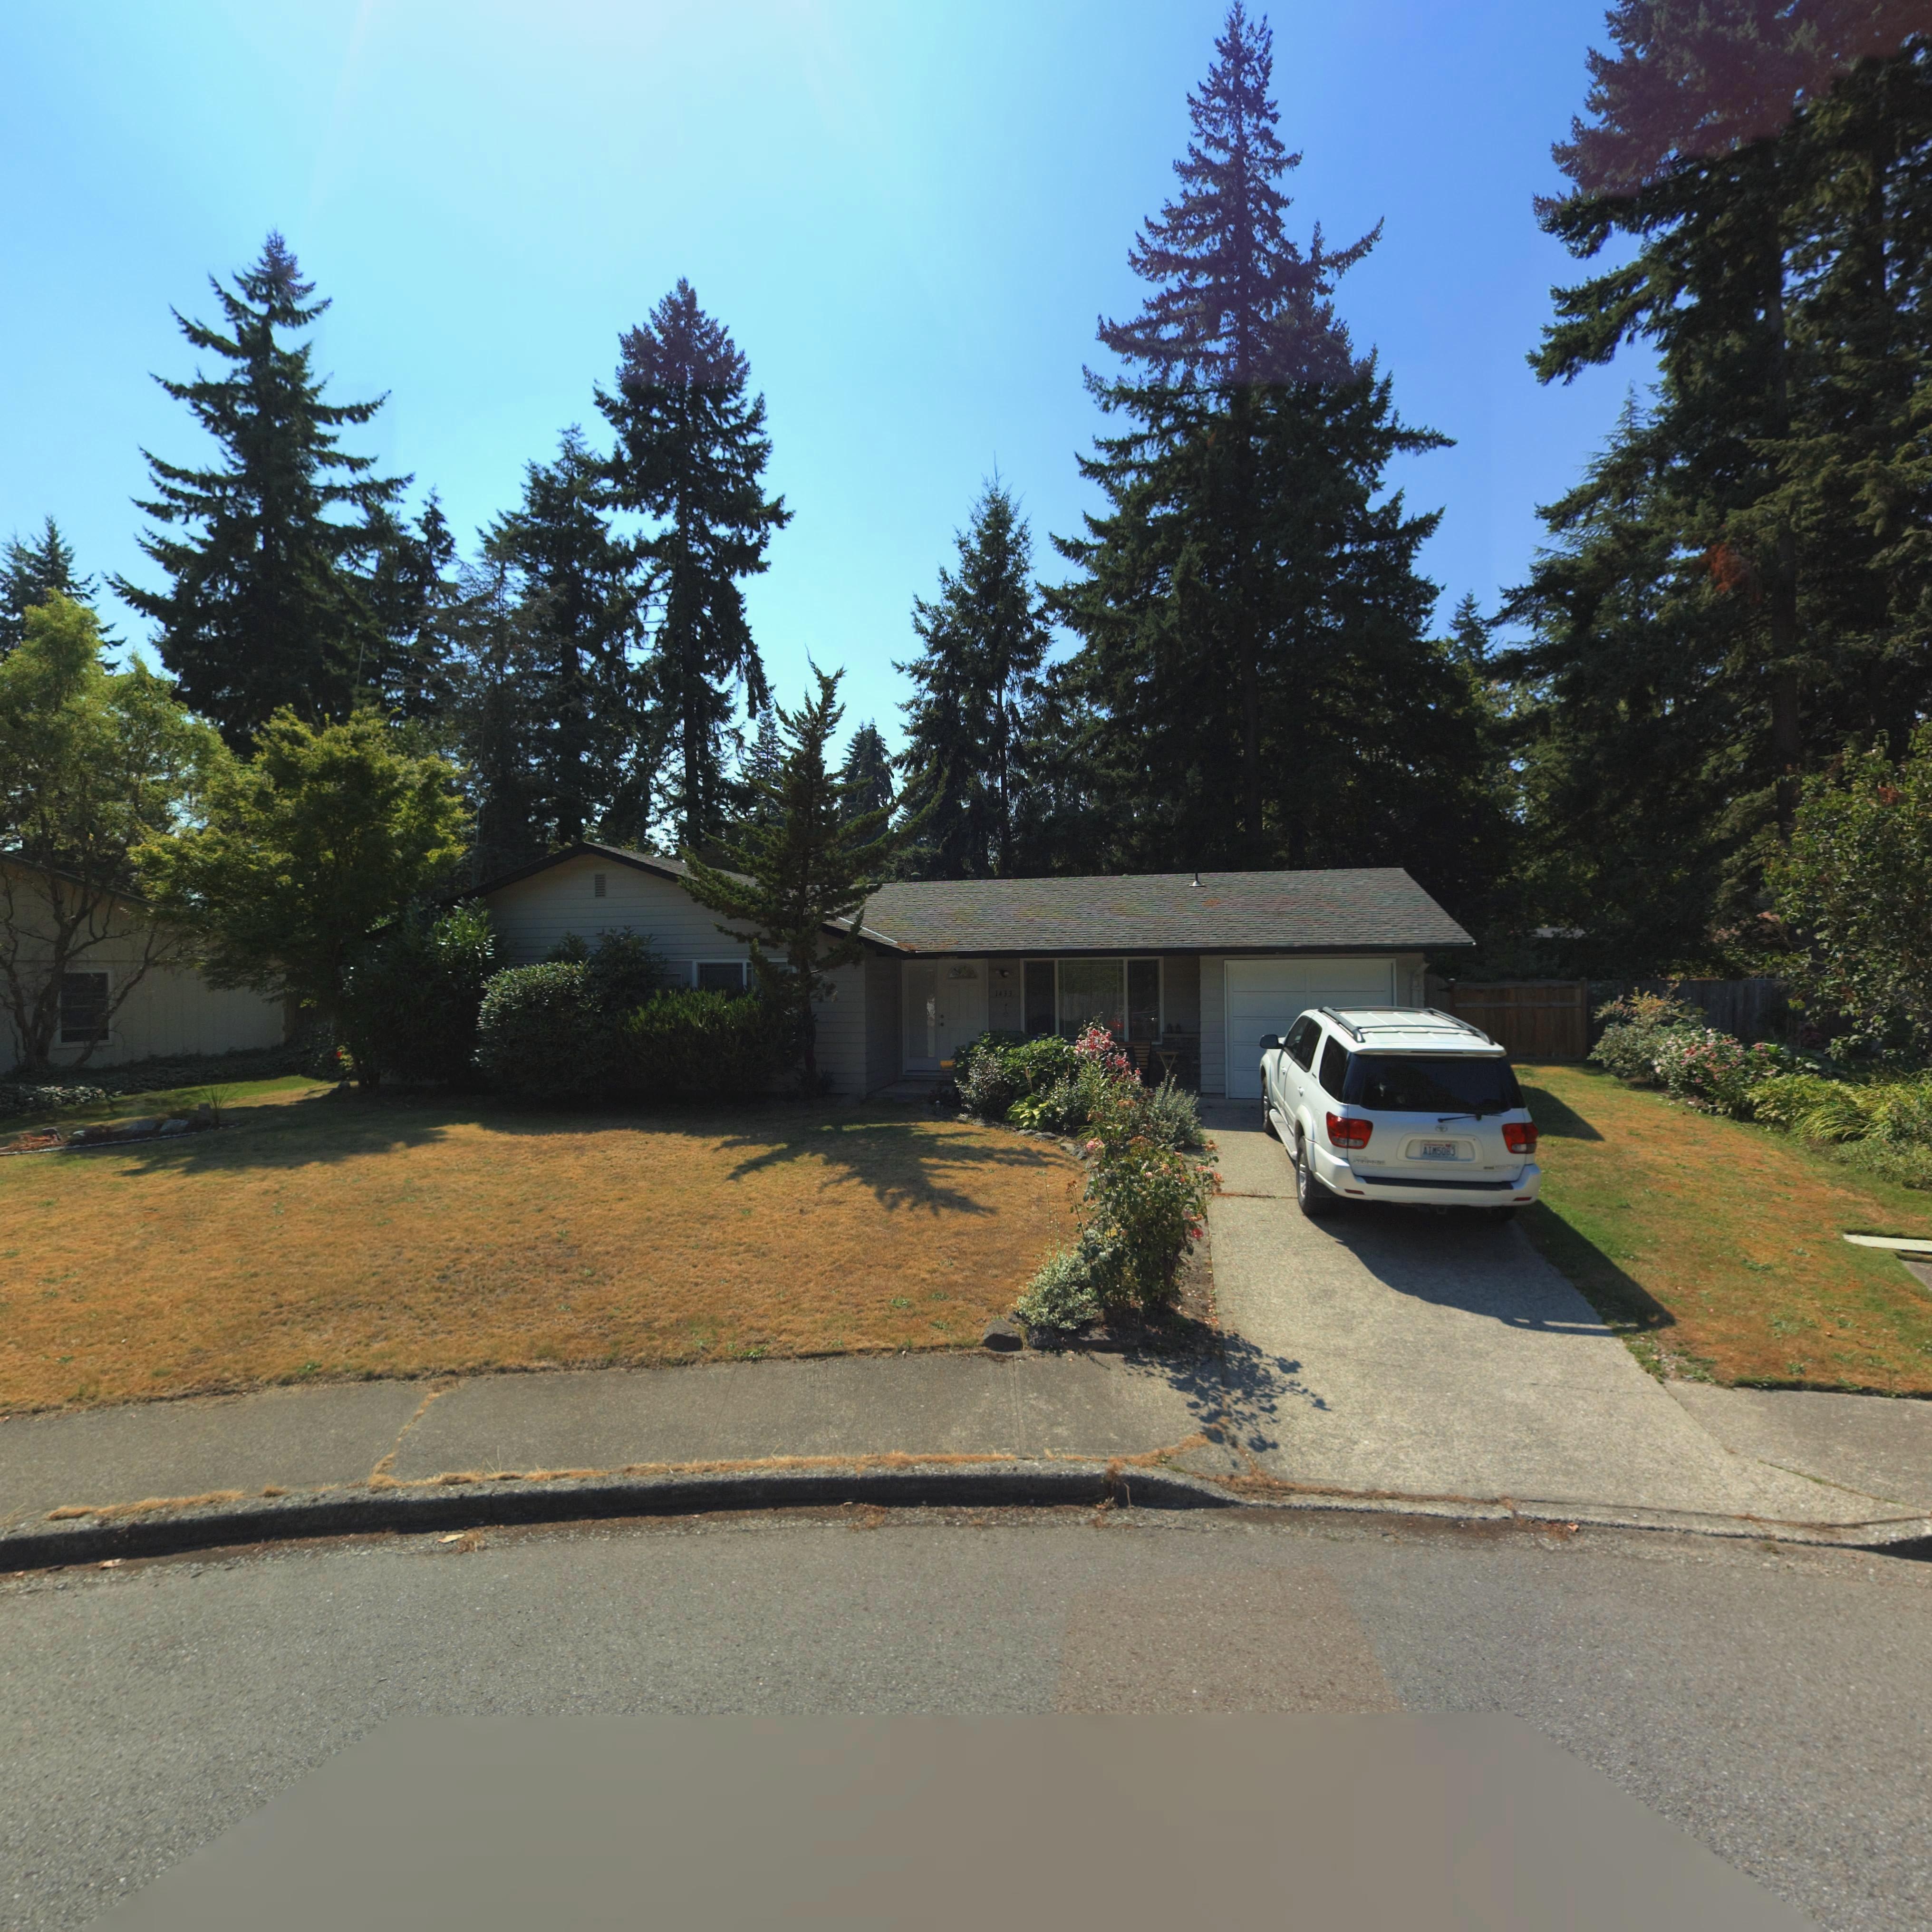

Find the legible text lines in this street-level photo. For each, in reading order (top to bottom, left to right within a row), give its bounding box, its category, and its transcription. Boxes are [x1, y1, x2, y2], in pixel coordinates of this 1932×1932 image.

[995, 990, 1013, 997] StreetNumber: 1433